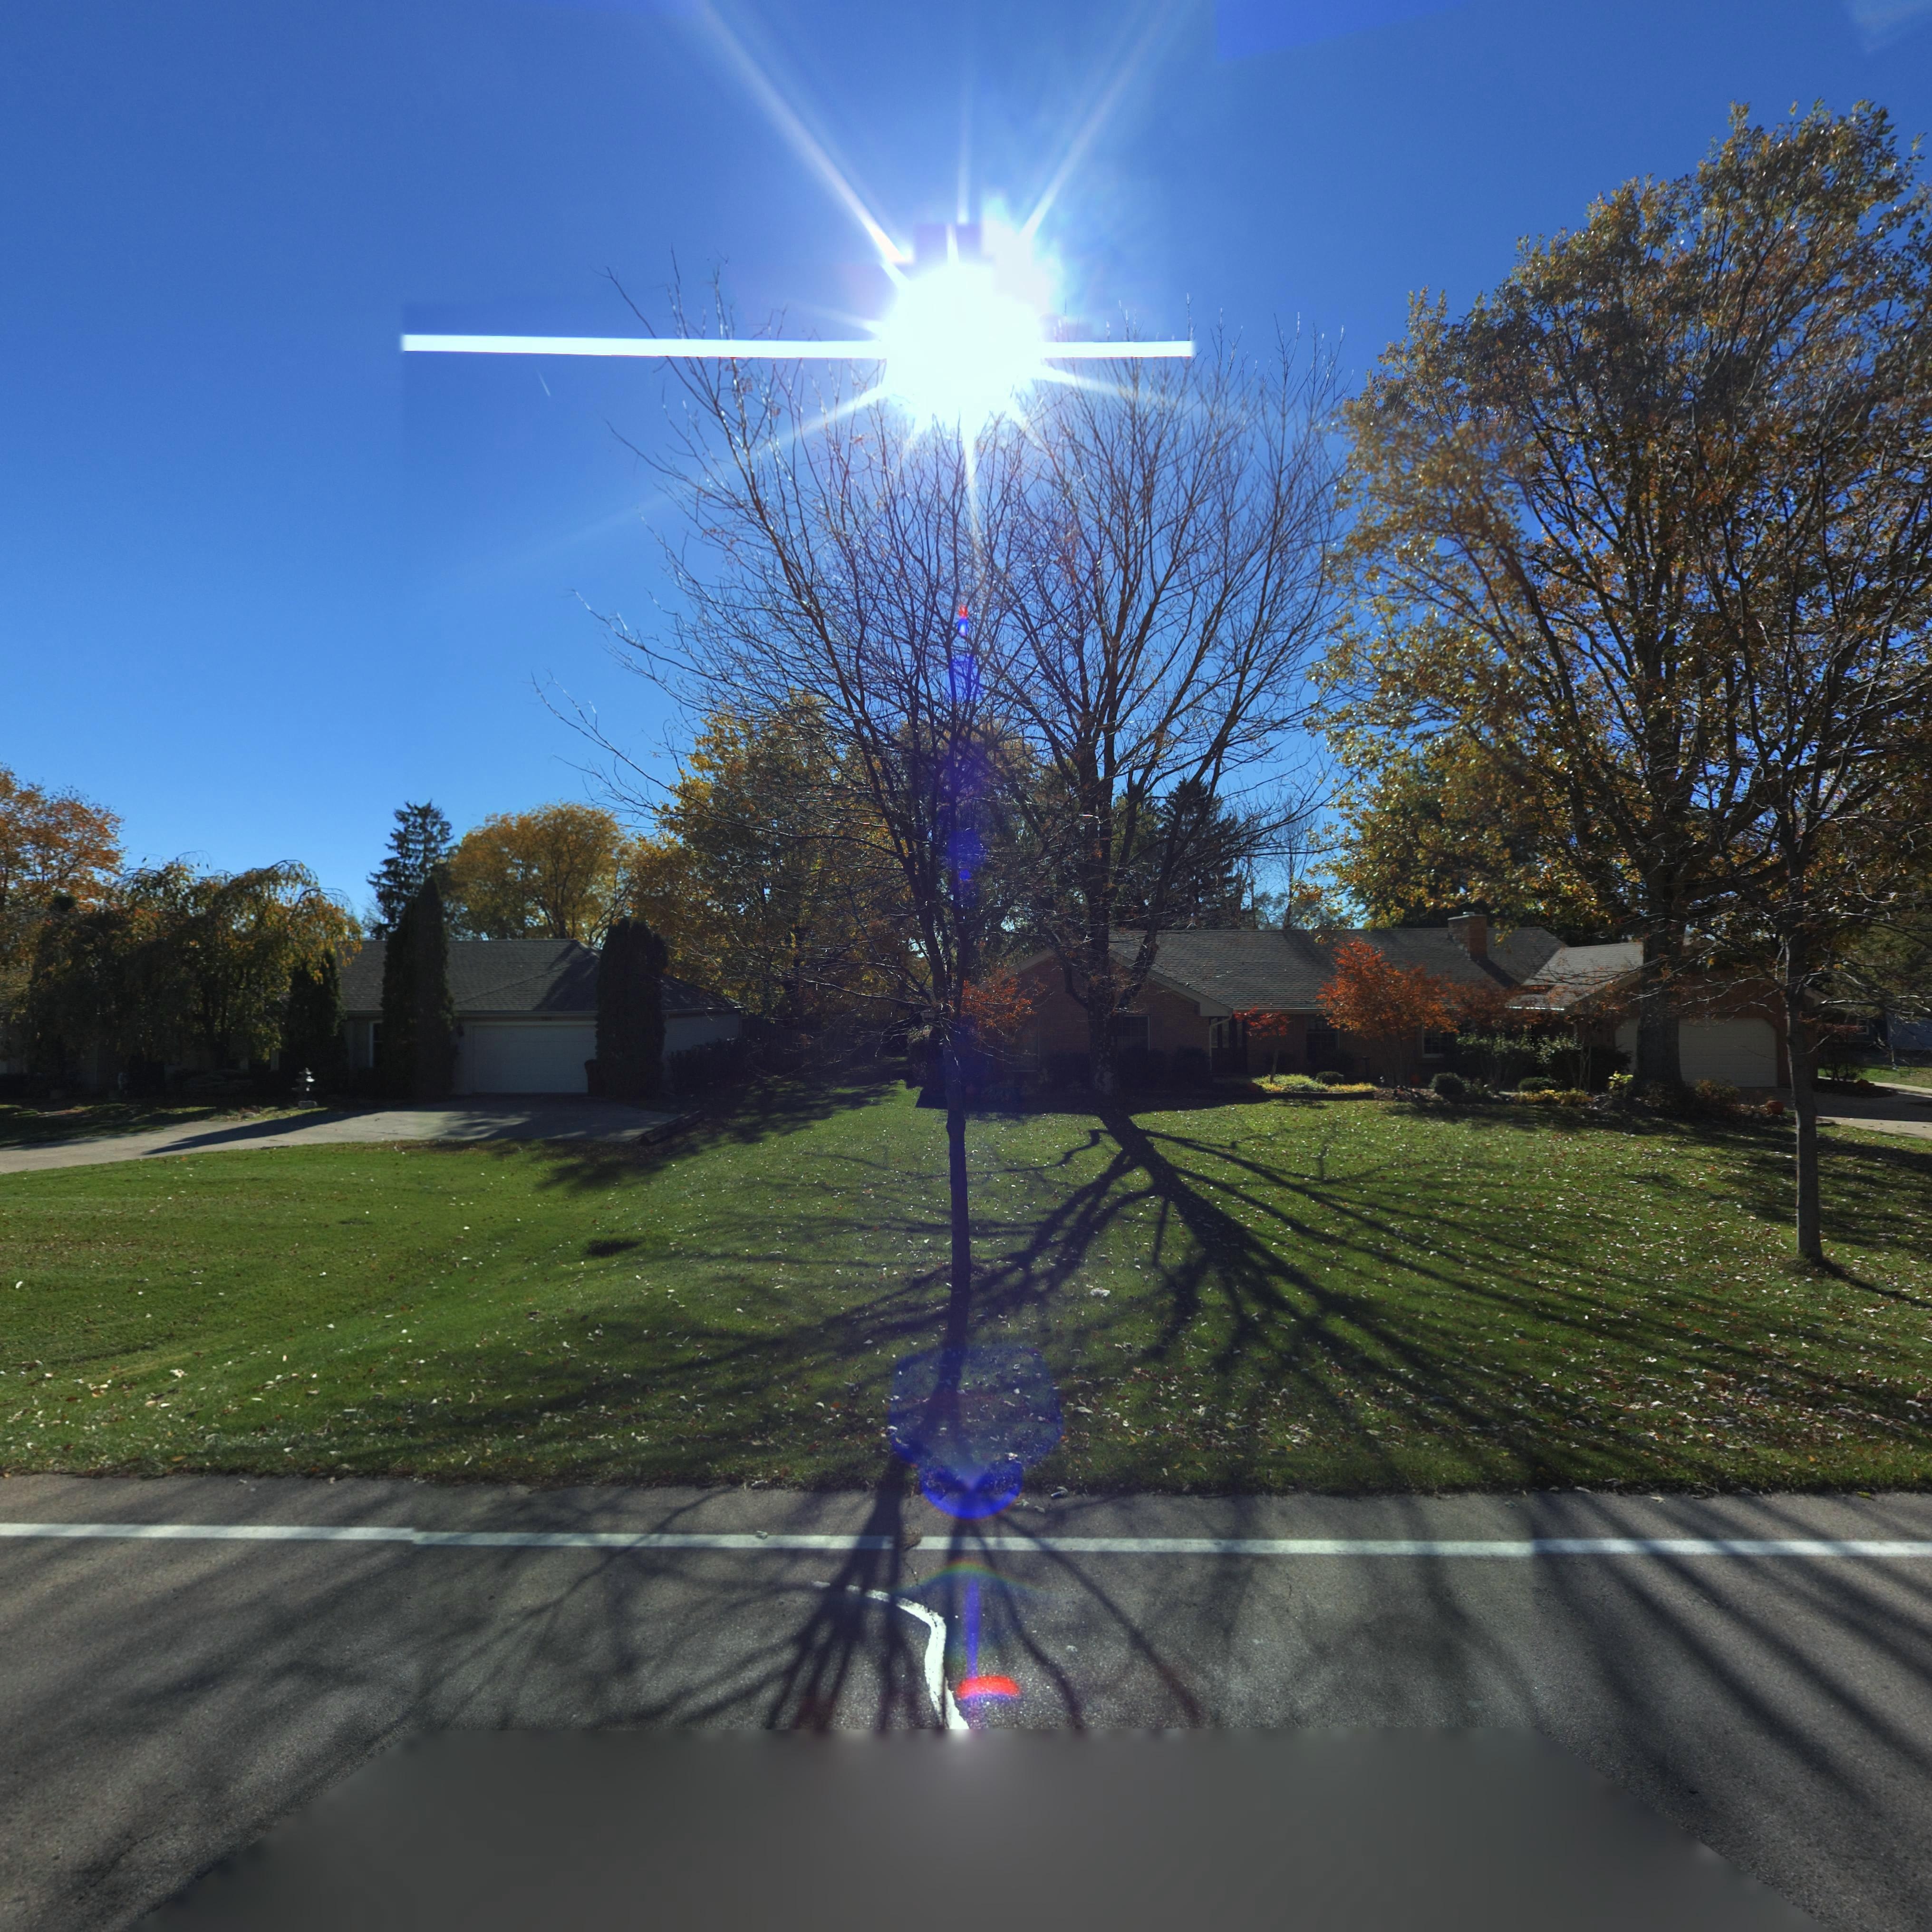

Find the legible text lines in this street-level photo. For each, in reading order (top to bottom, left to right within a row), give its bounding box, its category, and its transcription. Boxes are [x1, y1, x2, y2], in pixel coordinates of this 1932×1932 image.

[540, 1015, 552, 1022] StreetNumber: 5**